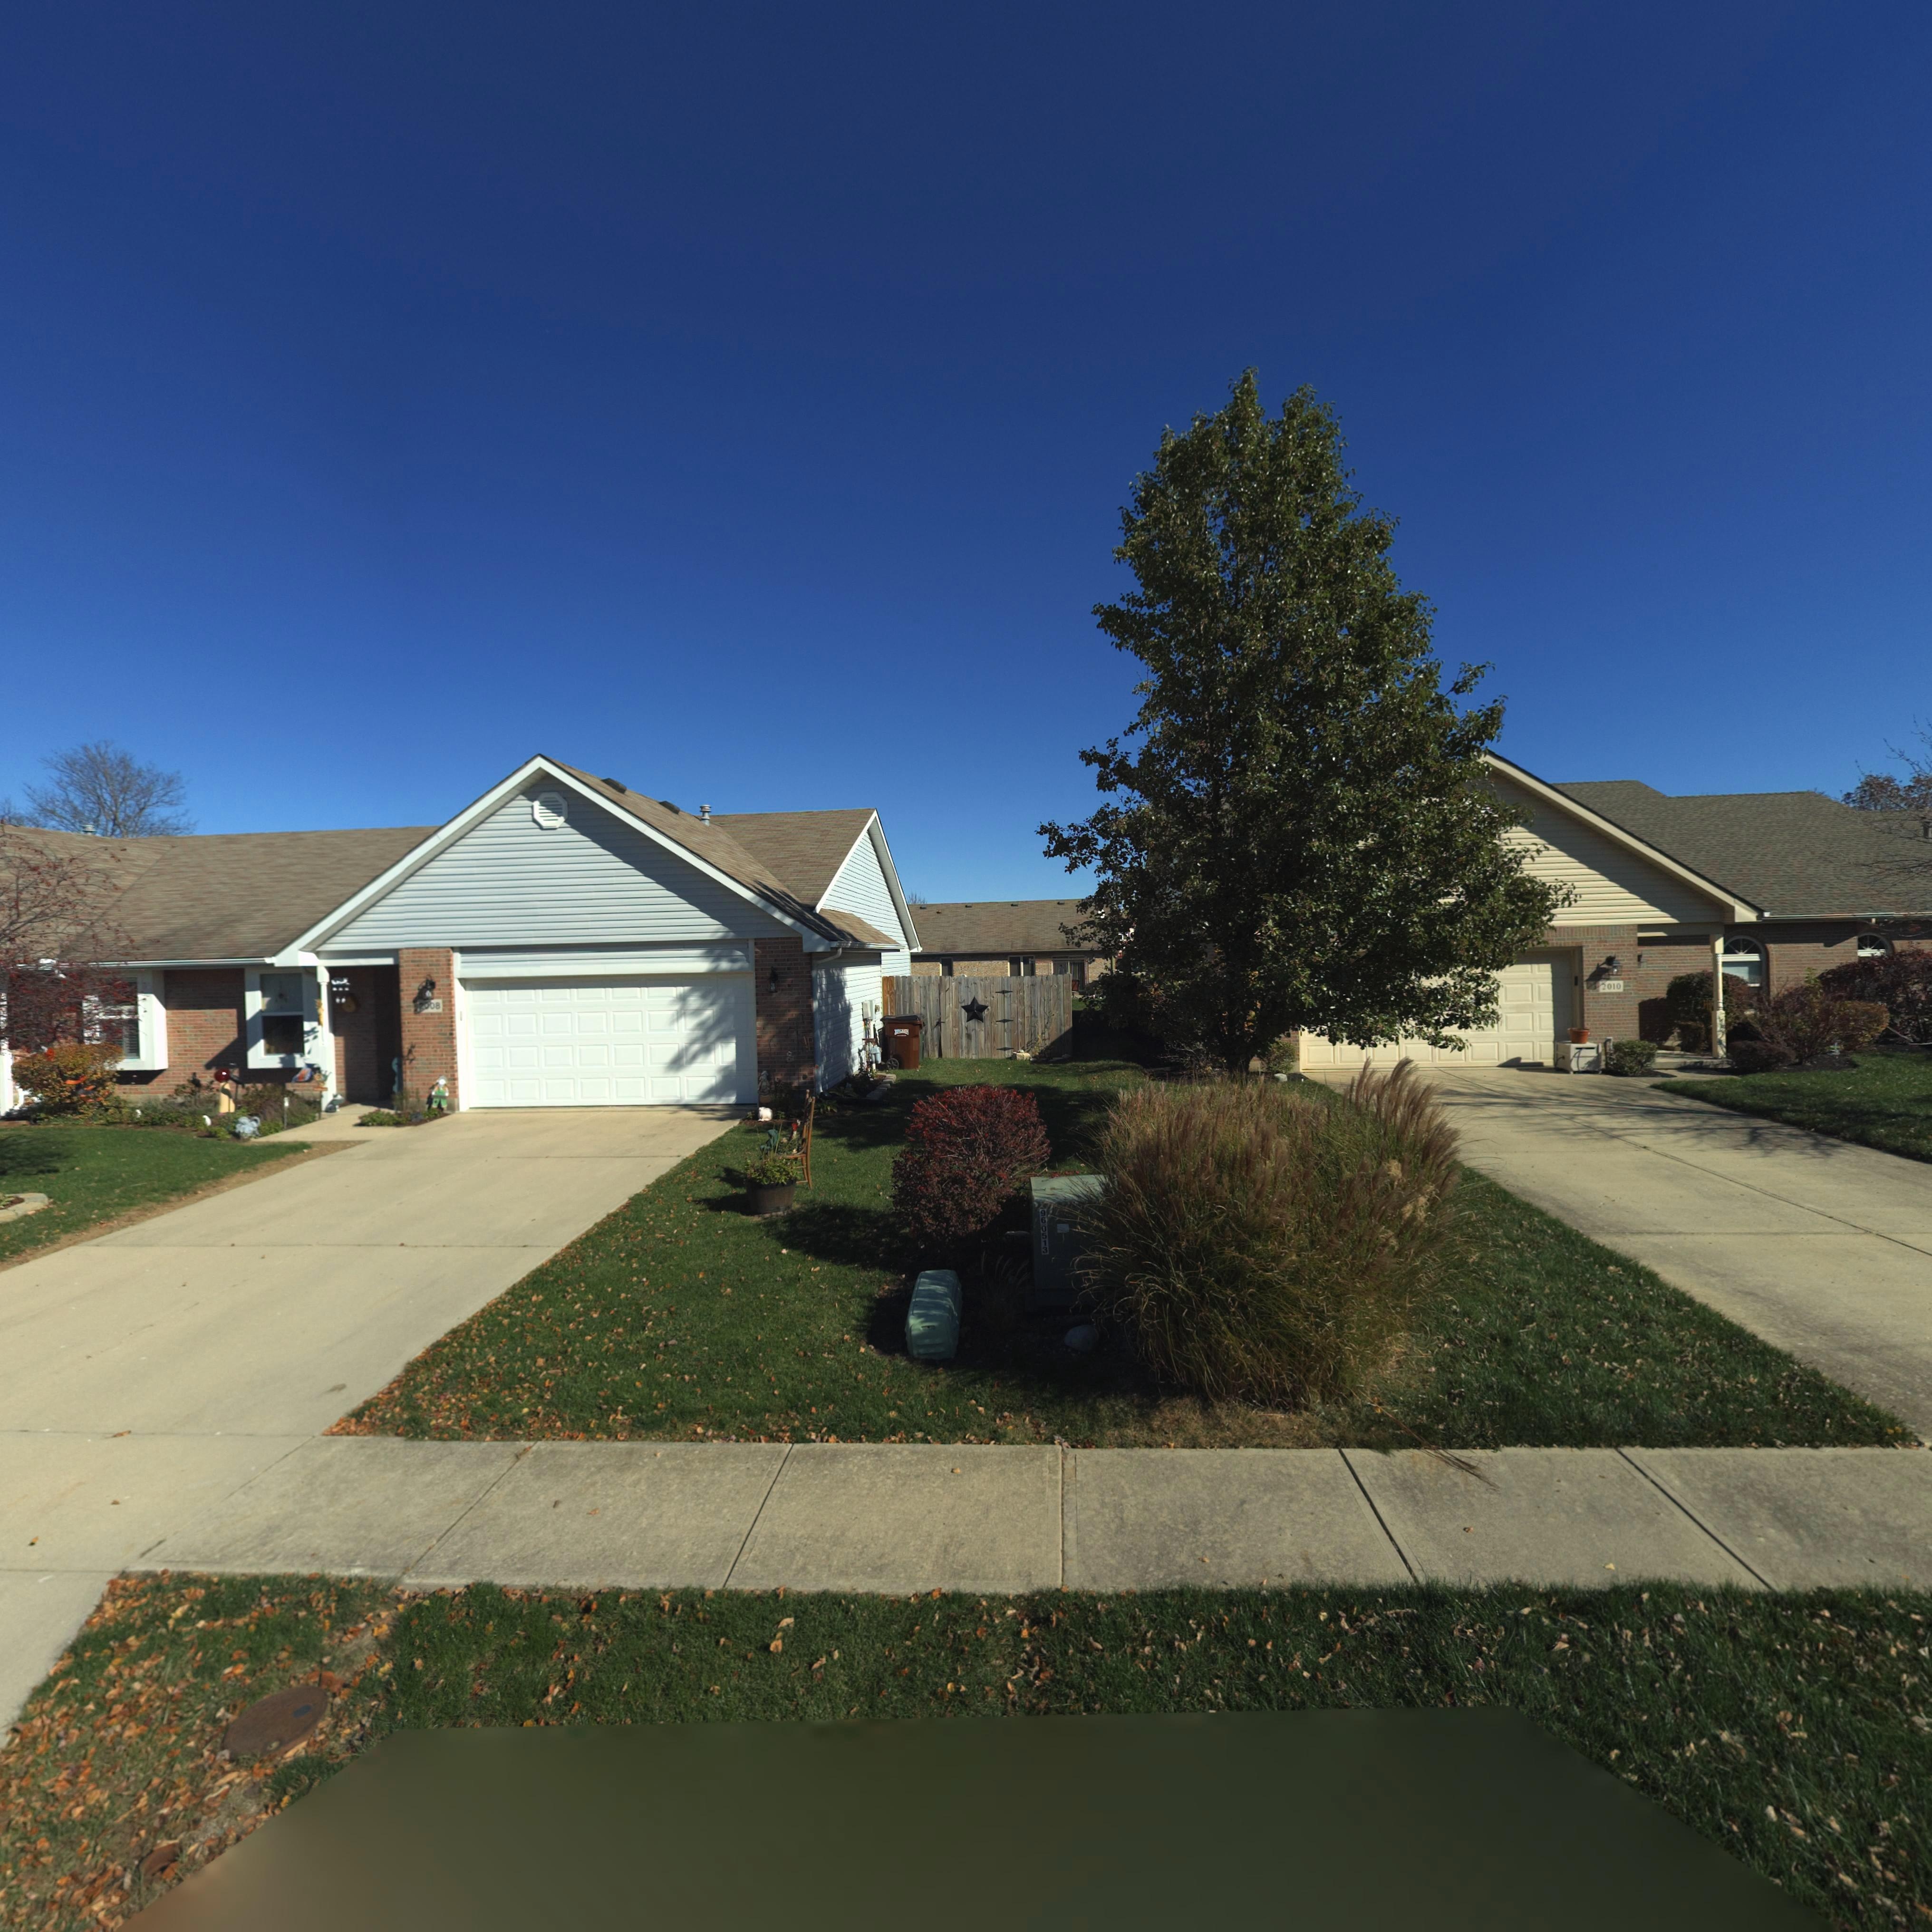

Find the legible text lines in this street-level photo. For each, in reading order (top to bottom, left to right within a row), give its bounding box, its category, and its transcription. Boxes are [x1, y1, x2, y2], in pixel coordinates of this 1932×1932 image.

[1600, 982, 1623, 991] StreetNumber: 2010
[418, 1001, 442, 1011] StreetNumber: 2008